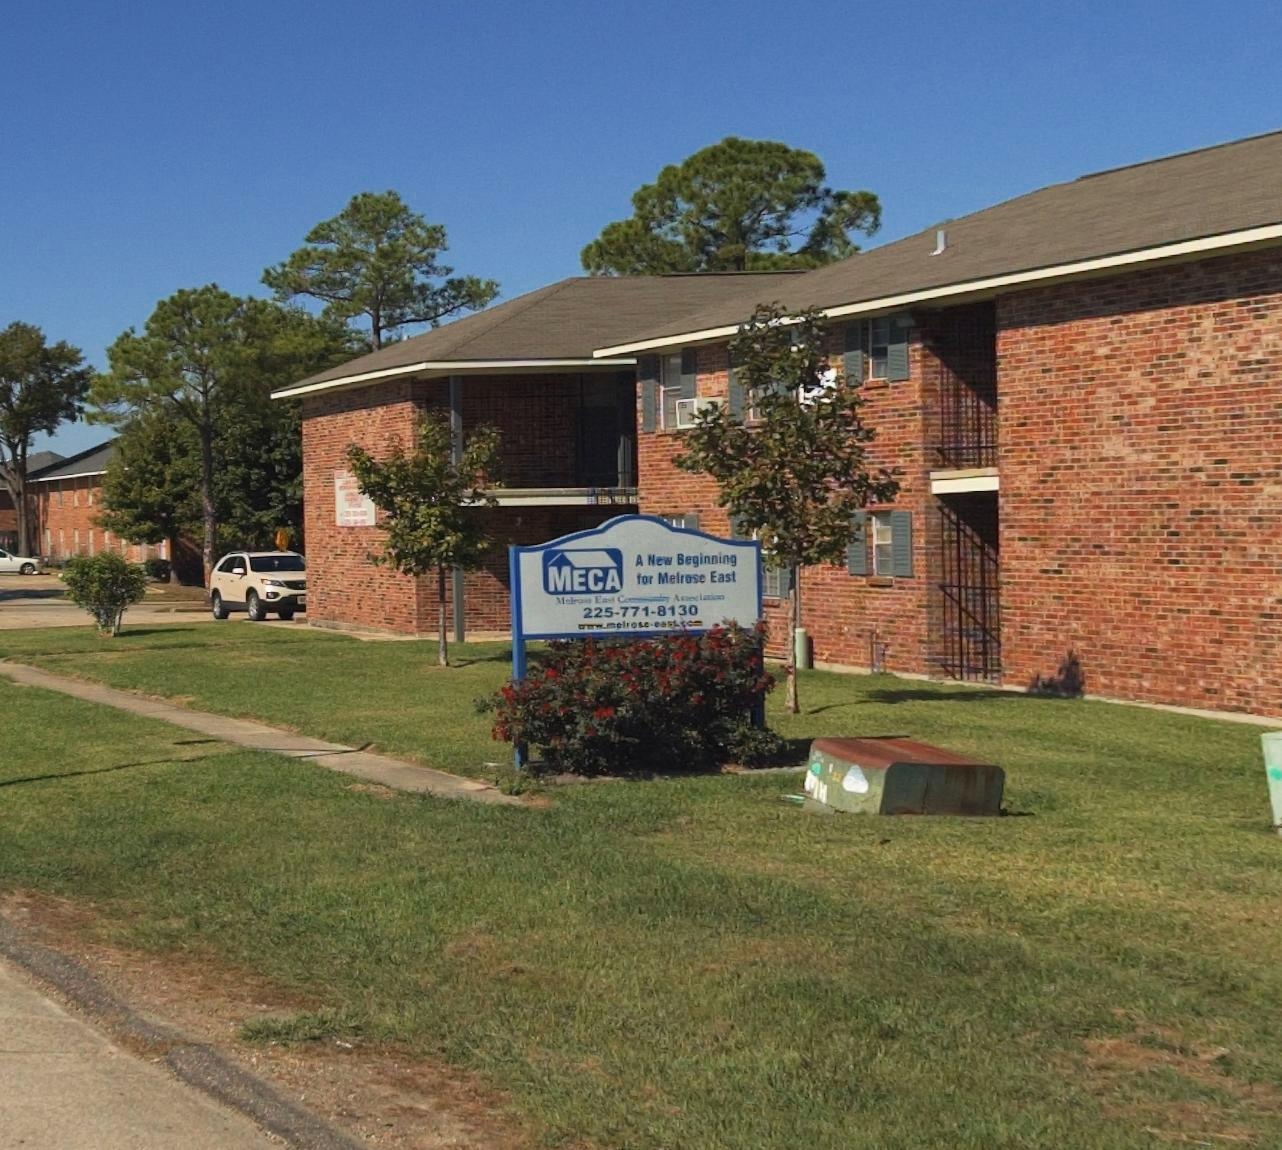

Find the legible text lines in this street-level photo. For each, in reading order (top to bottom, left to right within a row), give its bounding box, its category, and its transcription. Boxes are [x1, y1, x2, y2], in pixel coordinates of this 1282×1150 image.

[633, 550, 739, 569] None: A New Beginning
[546, 563, 624, 595] None: MECA
[633, 567, 740, 588] None: for Melrose East
[553, 594, 567, 608] BusinessName: M
[580, 601, 702, 621] None: 225-771-8130